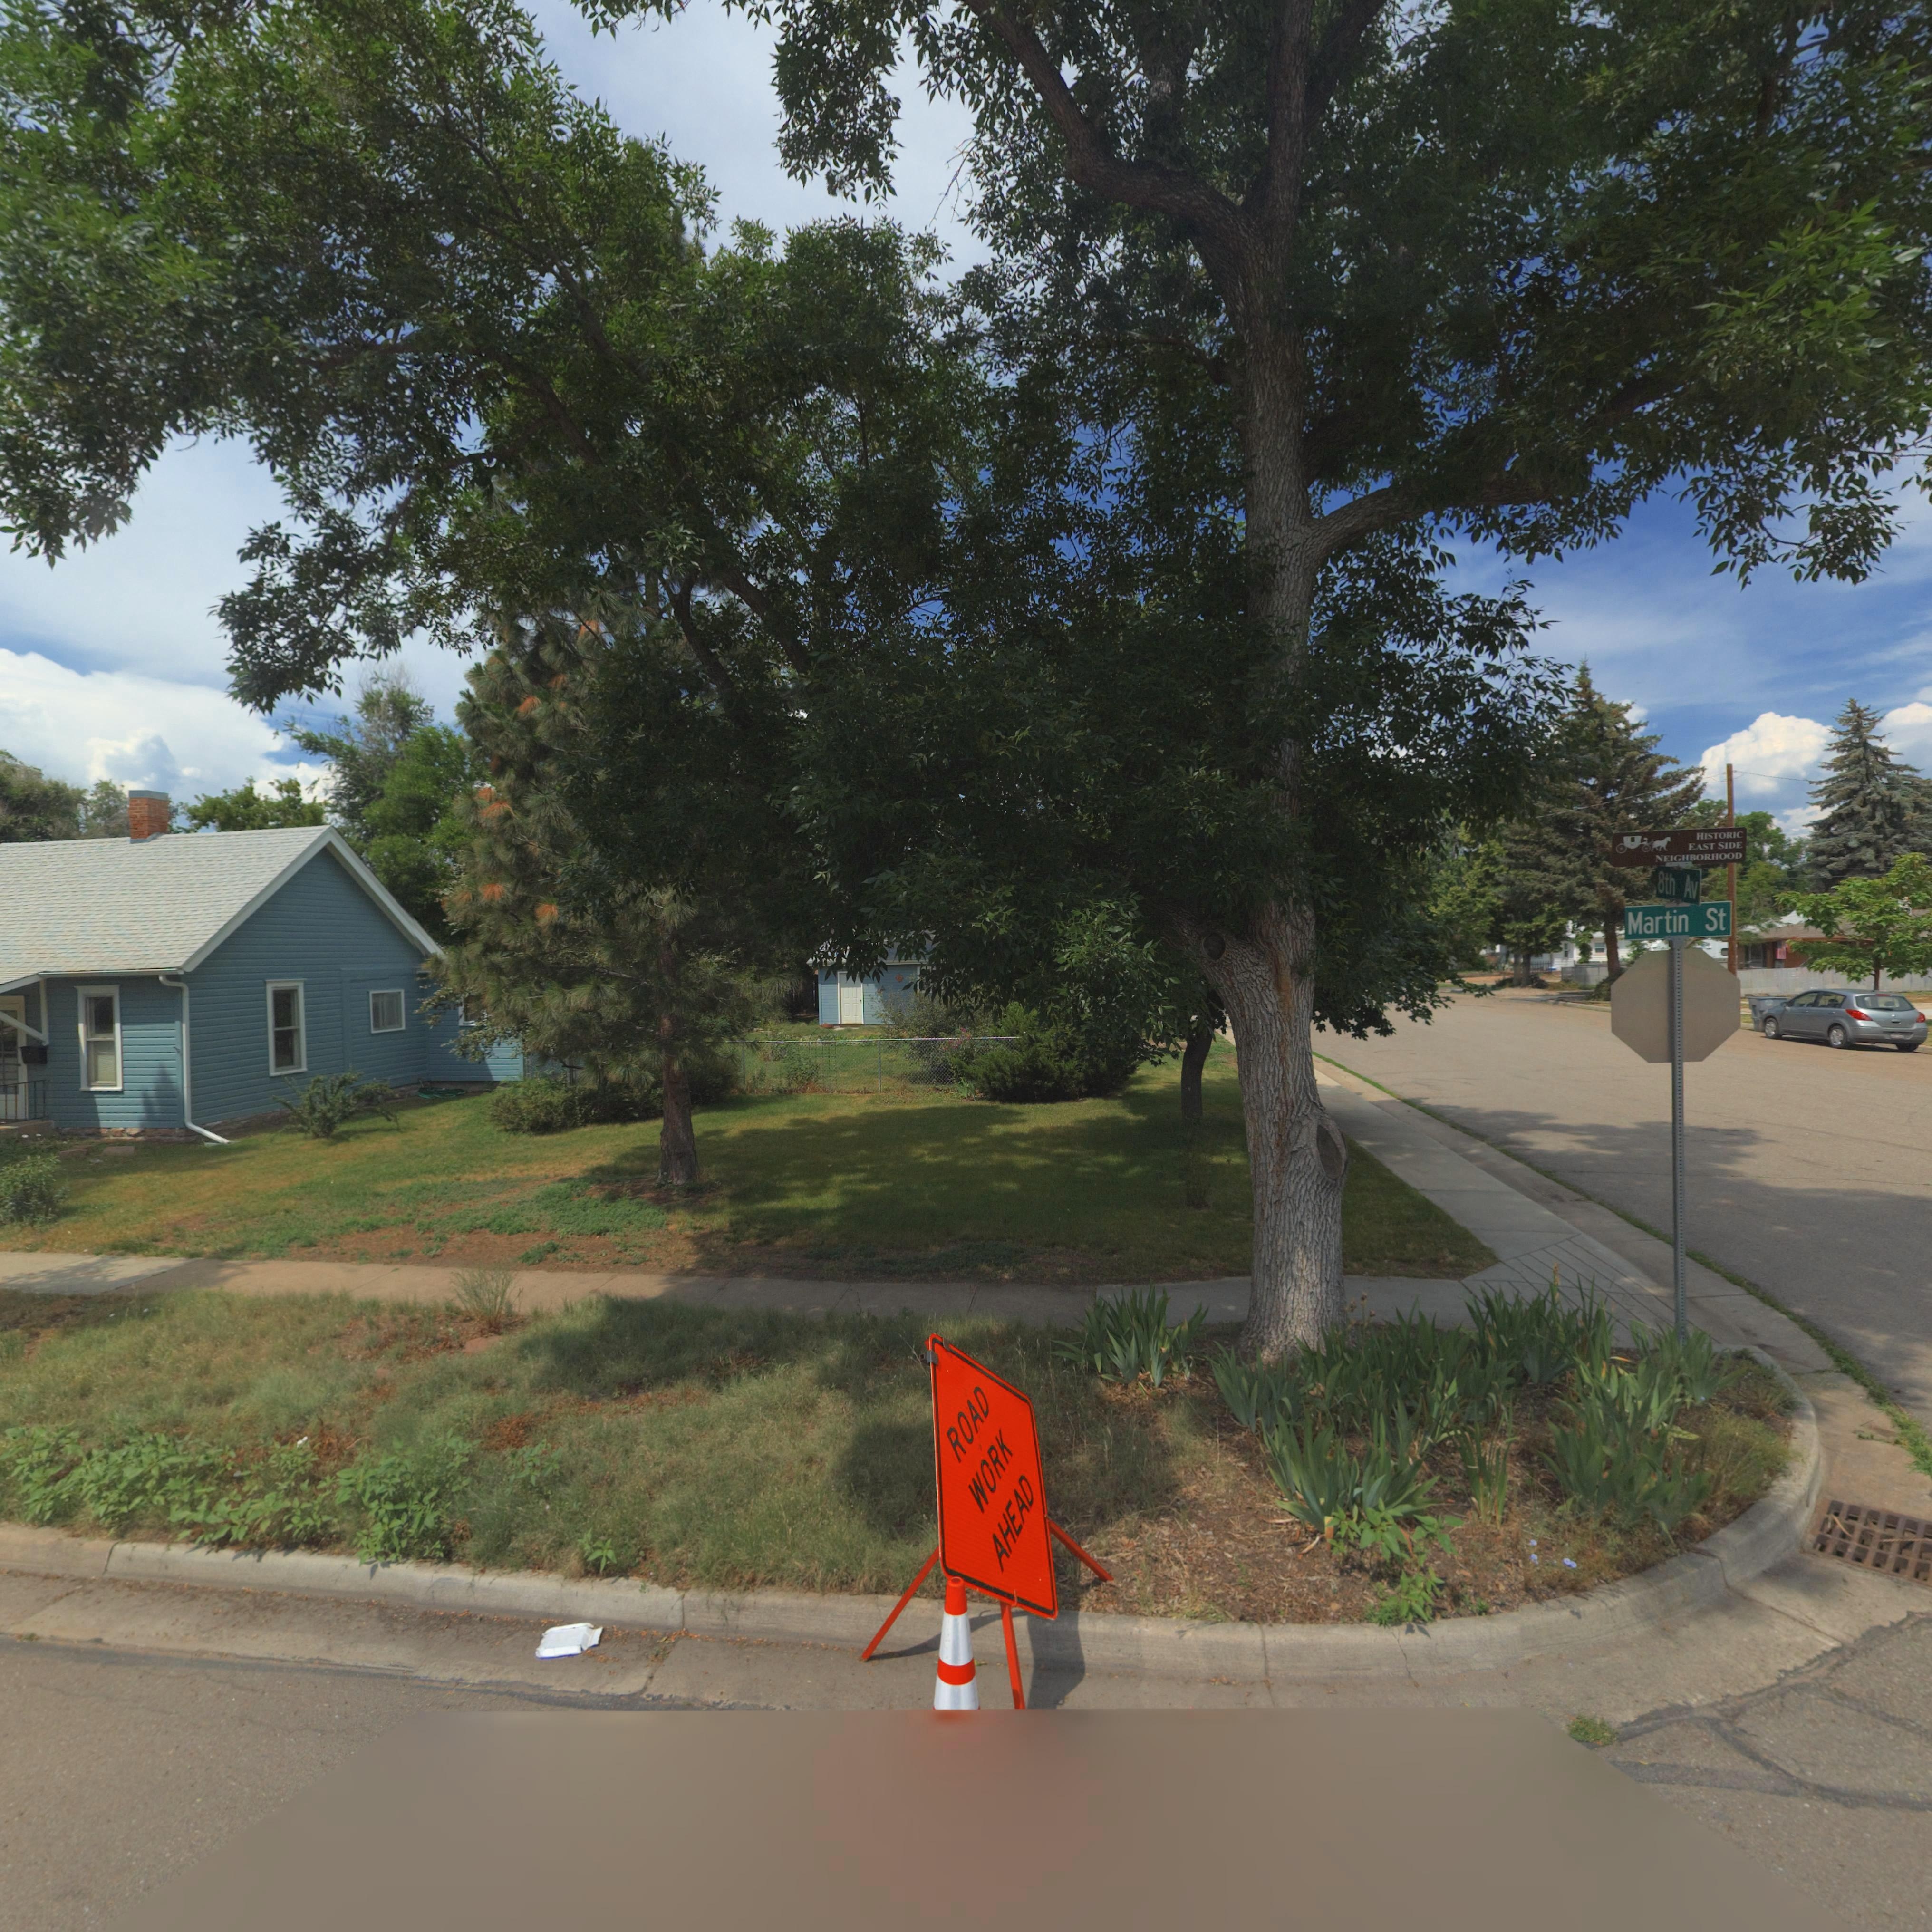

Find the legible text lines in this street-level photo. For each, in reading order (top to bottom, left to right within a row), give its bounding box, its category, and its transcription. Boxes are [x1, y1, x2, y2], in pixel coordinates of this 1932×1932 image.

[1656, 870, 1699, 900] StreetName: 8th Av 
[1627, 907, 1726, 935] StreetName: Martin St